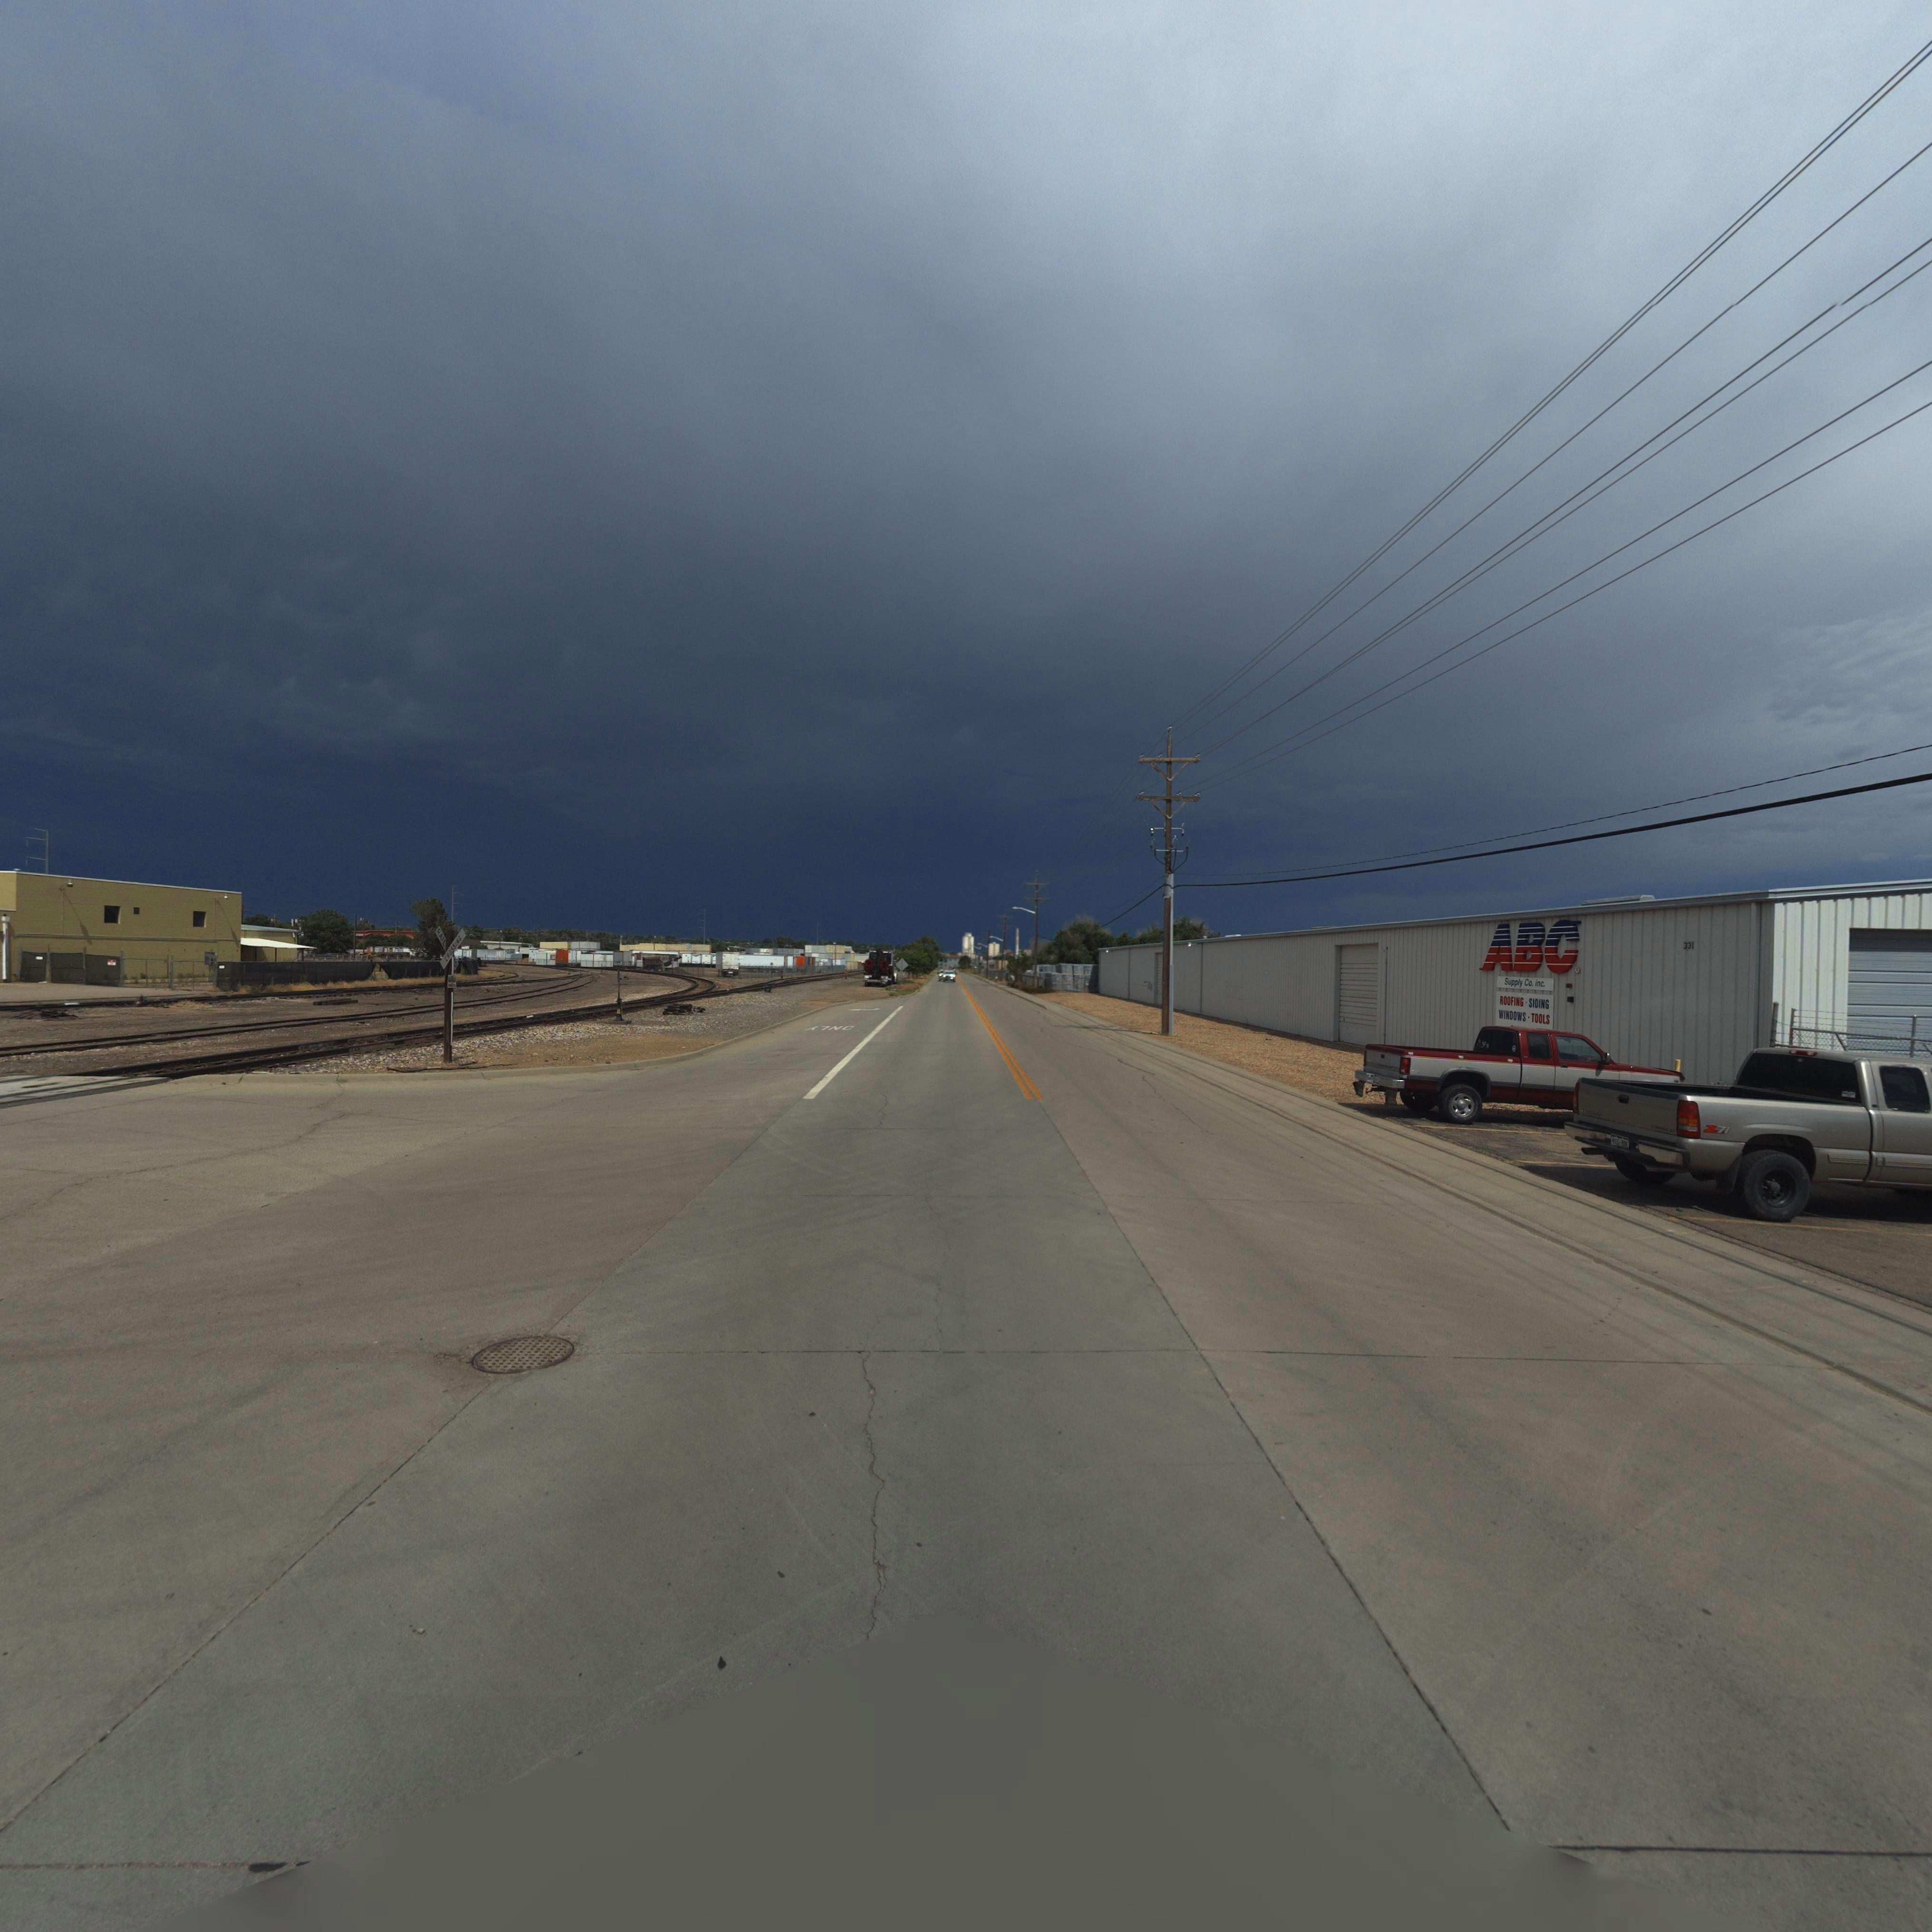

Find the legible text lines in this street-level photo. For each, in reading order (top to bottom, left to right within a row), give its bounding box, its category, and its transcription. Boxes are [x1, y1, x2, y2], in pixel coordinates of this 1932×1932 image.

[1478, 918, 1581, 975] BusinessName: ABC
[1683, 941, 1694, 949] StreetNumber: 331
[1504, 977, 1546, 988] BusinessName: Supply Co. inc.